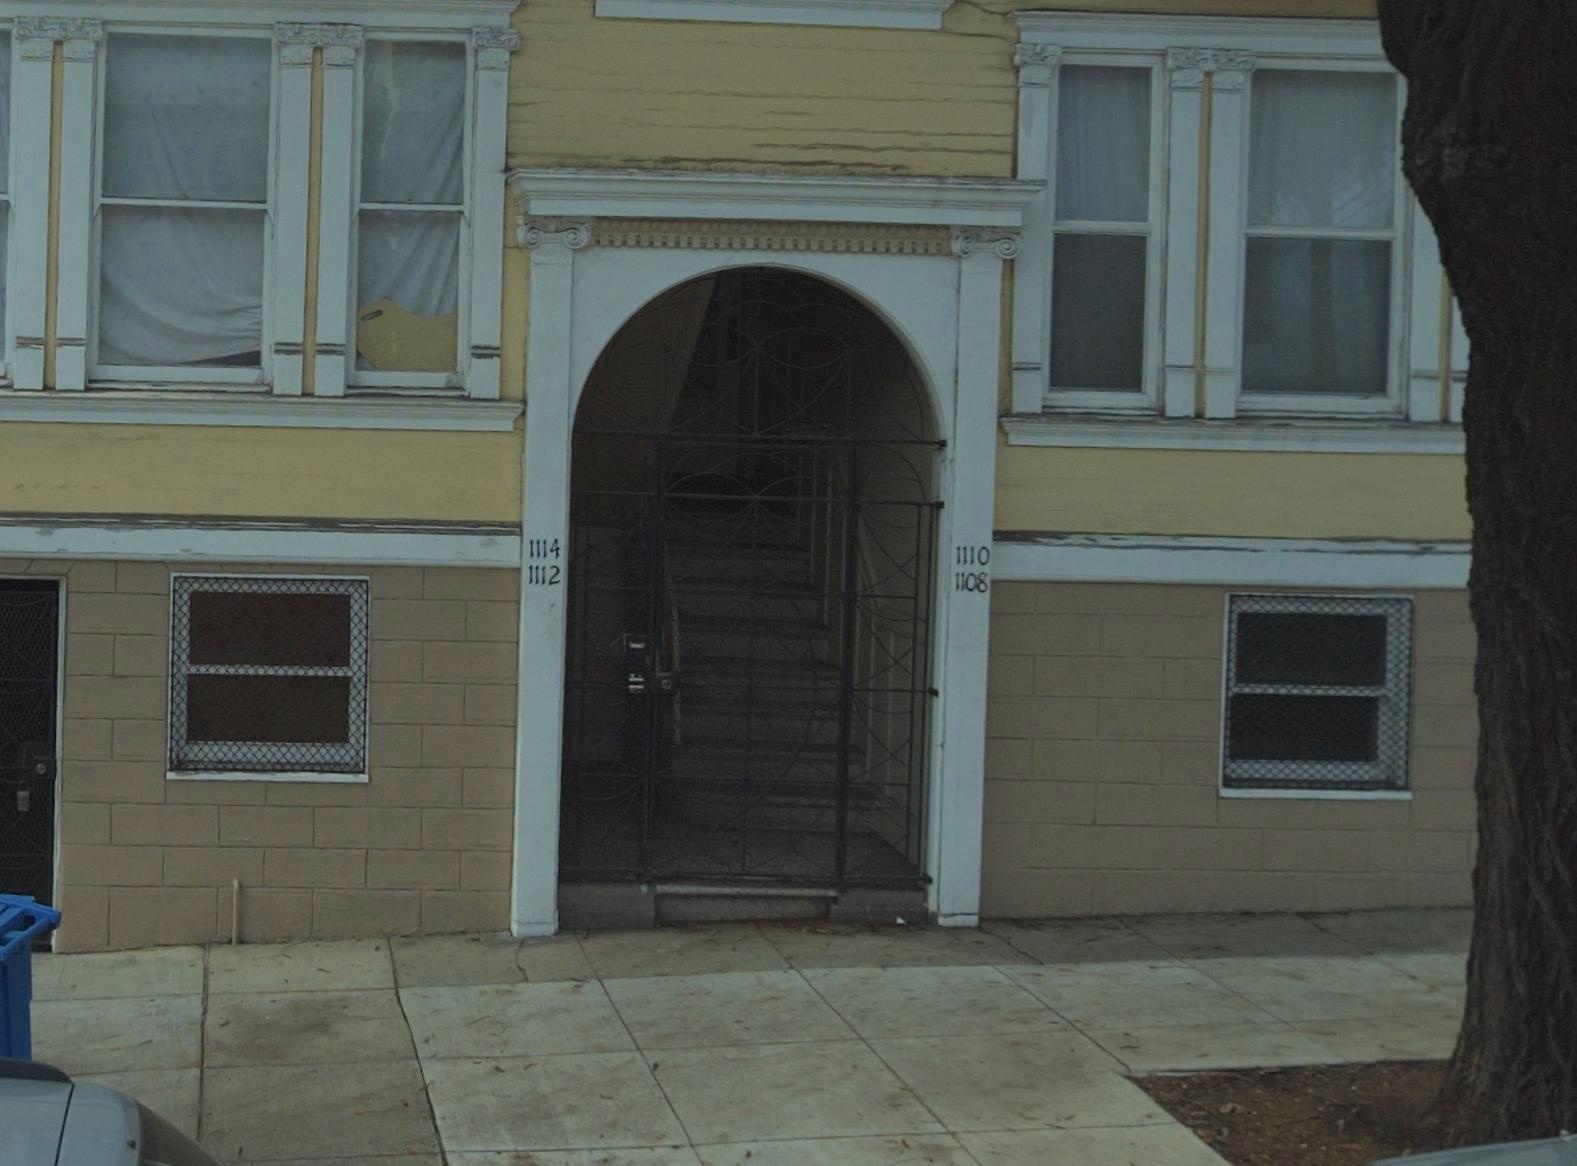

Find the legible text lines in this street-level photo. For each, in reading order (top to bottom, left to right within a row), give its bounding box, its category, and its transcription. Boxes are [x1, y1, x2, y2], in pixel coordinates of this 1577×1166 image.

[526, 535, 563, 562] StreetNumber: 1114
[954, 542, 991, 567] StreetNumber: 1110
[526, 562, 563, 588] StreetNumber: 1112
[953, 569, 989, 594] StreetNumber: 1108